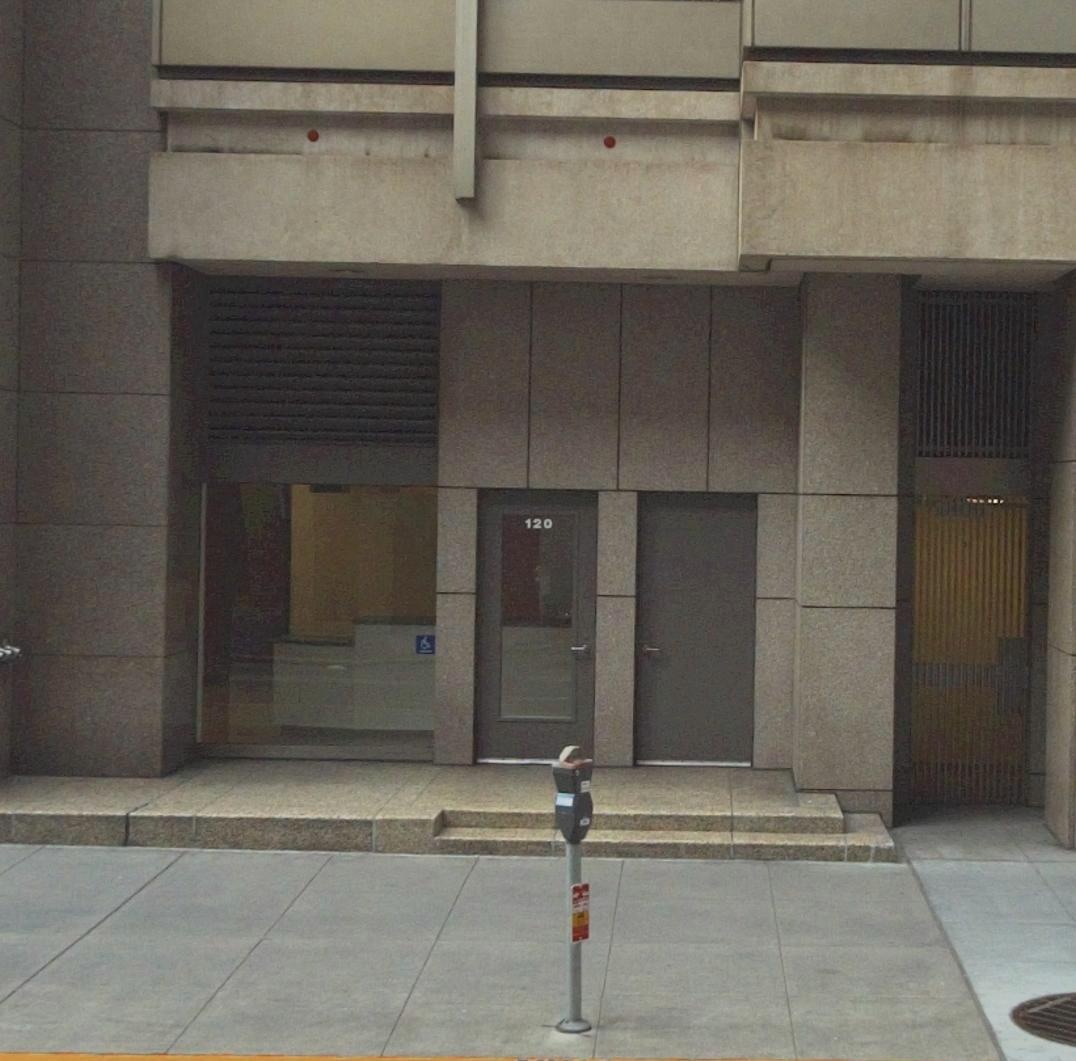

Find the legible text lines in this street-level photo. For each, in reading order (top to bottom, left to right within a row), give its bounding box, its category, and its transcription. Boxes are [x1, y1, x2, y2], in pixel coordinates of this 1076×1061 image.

[524, 517, 554, 530] StreetNumber: 120